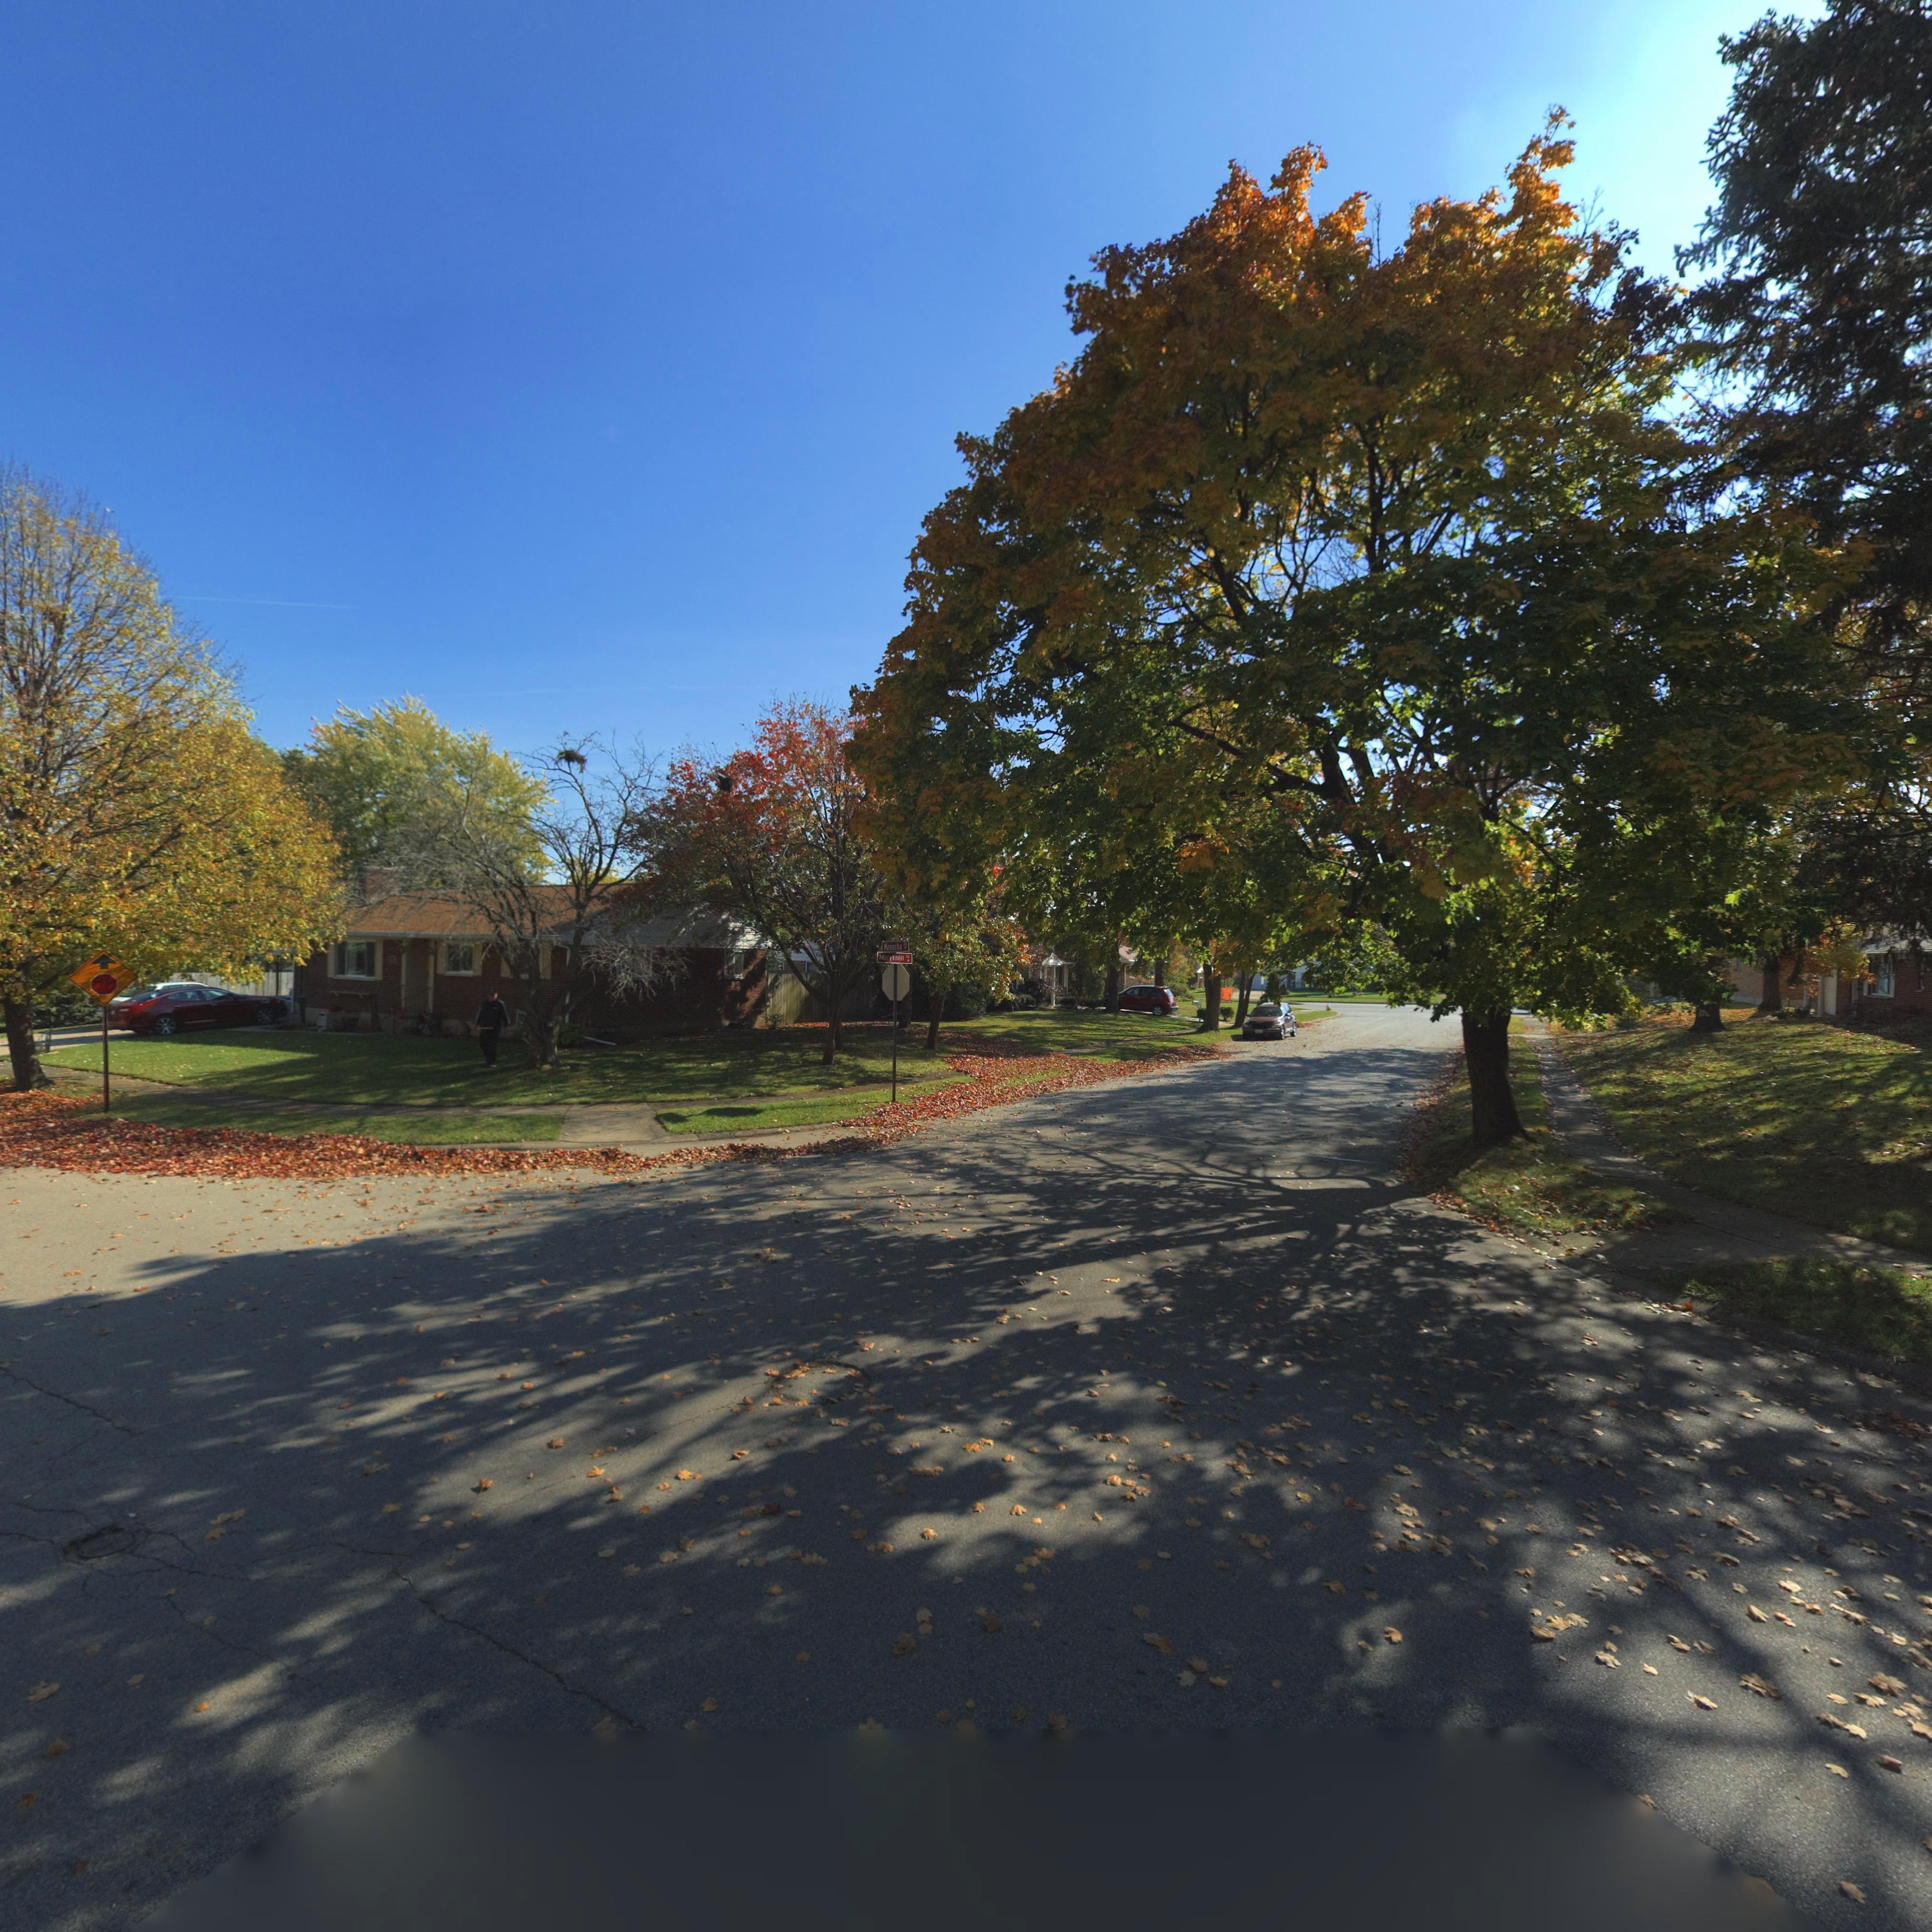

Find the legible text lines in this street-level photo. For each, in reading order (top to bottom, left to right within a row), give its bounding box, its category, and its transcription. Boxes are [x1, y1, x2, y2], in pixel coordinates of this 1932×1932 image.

[884, 943, 908, 951] StreetName: Kenosha Rd
[879, 953, 910, 963] StreetName: Maryknoll Dr